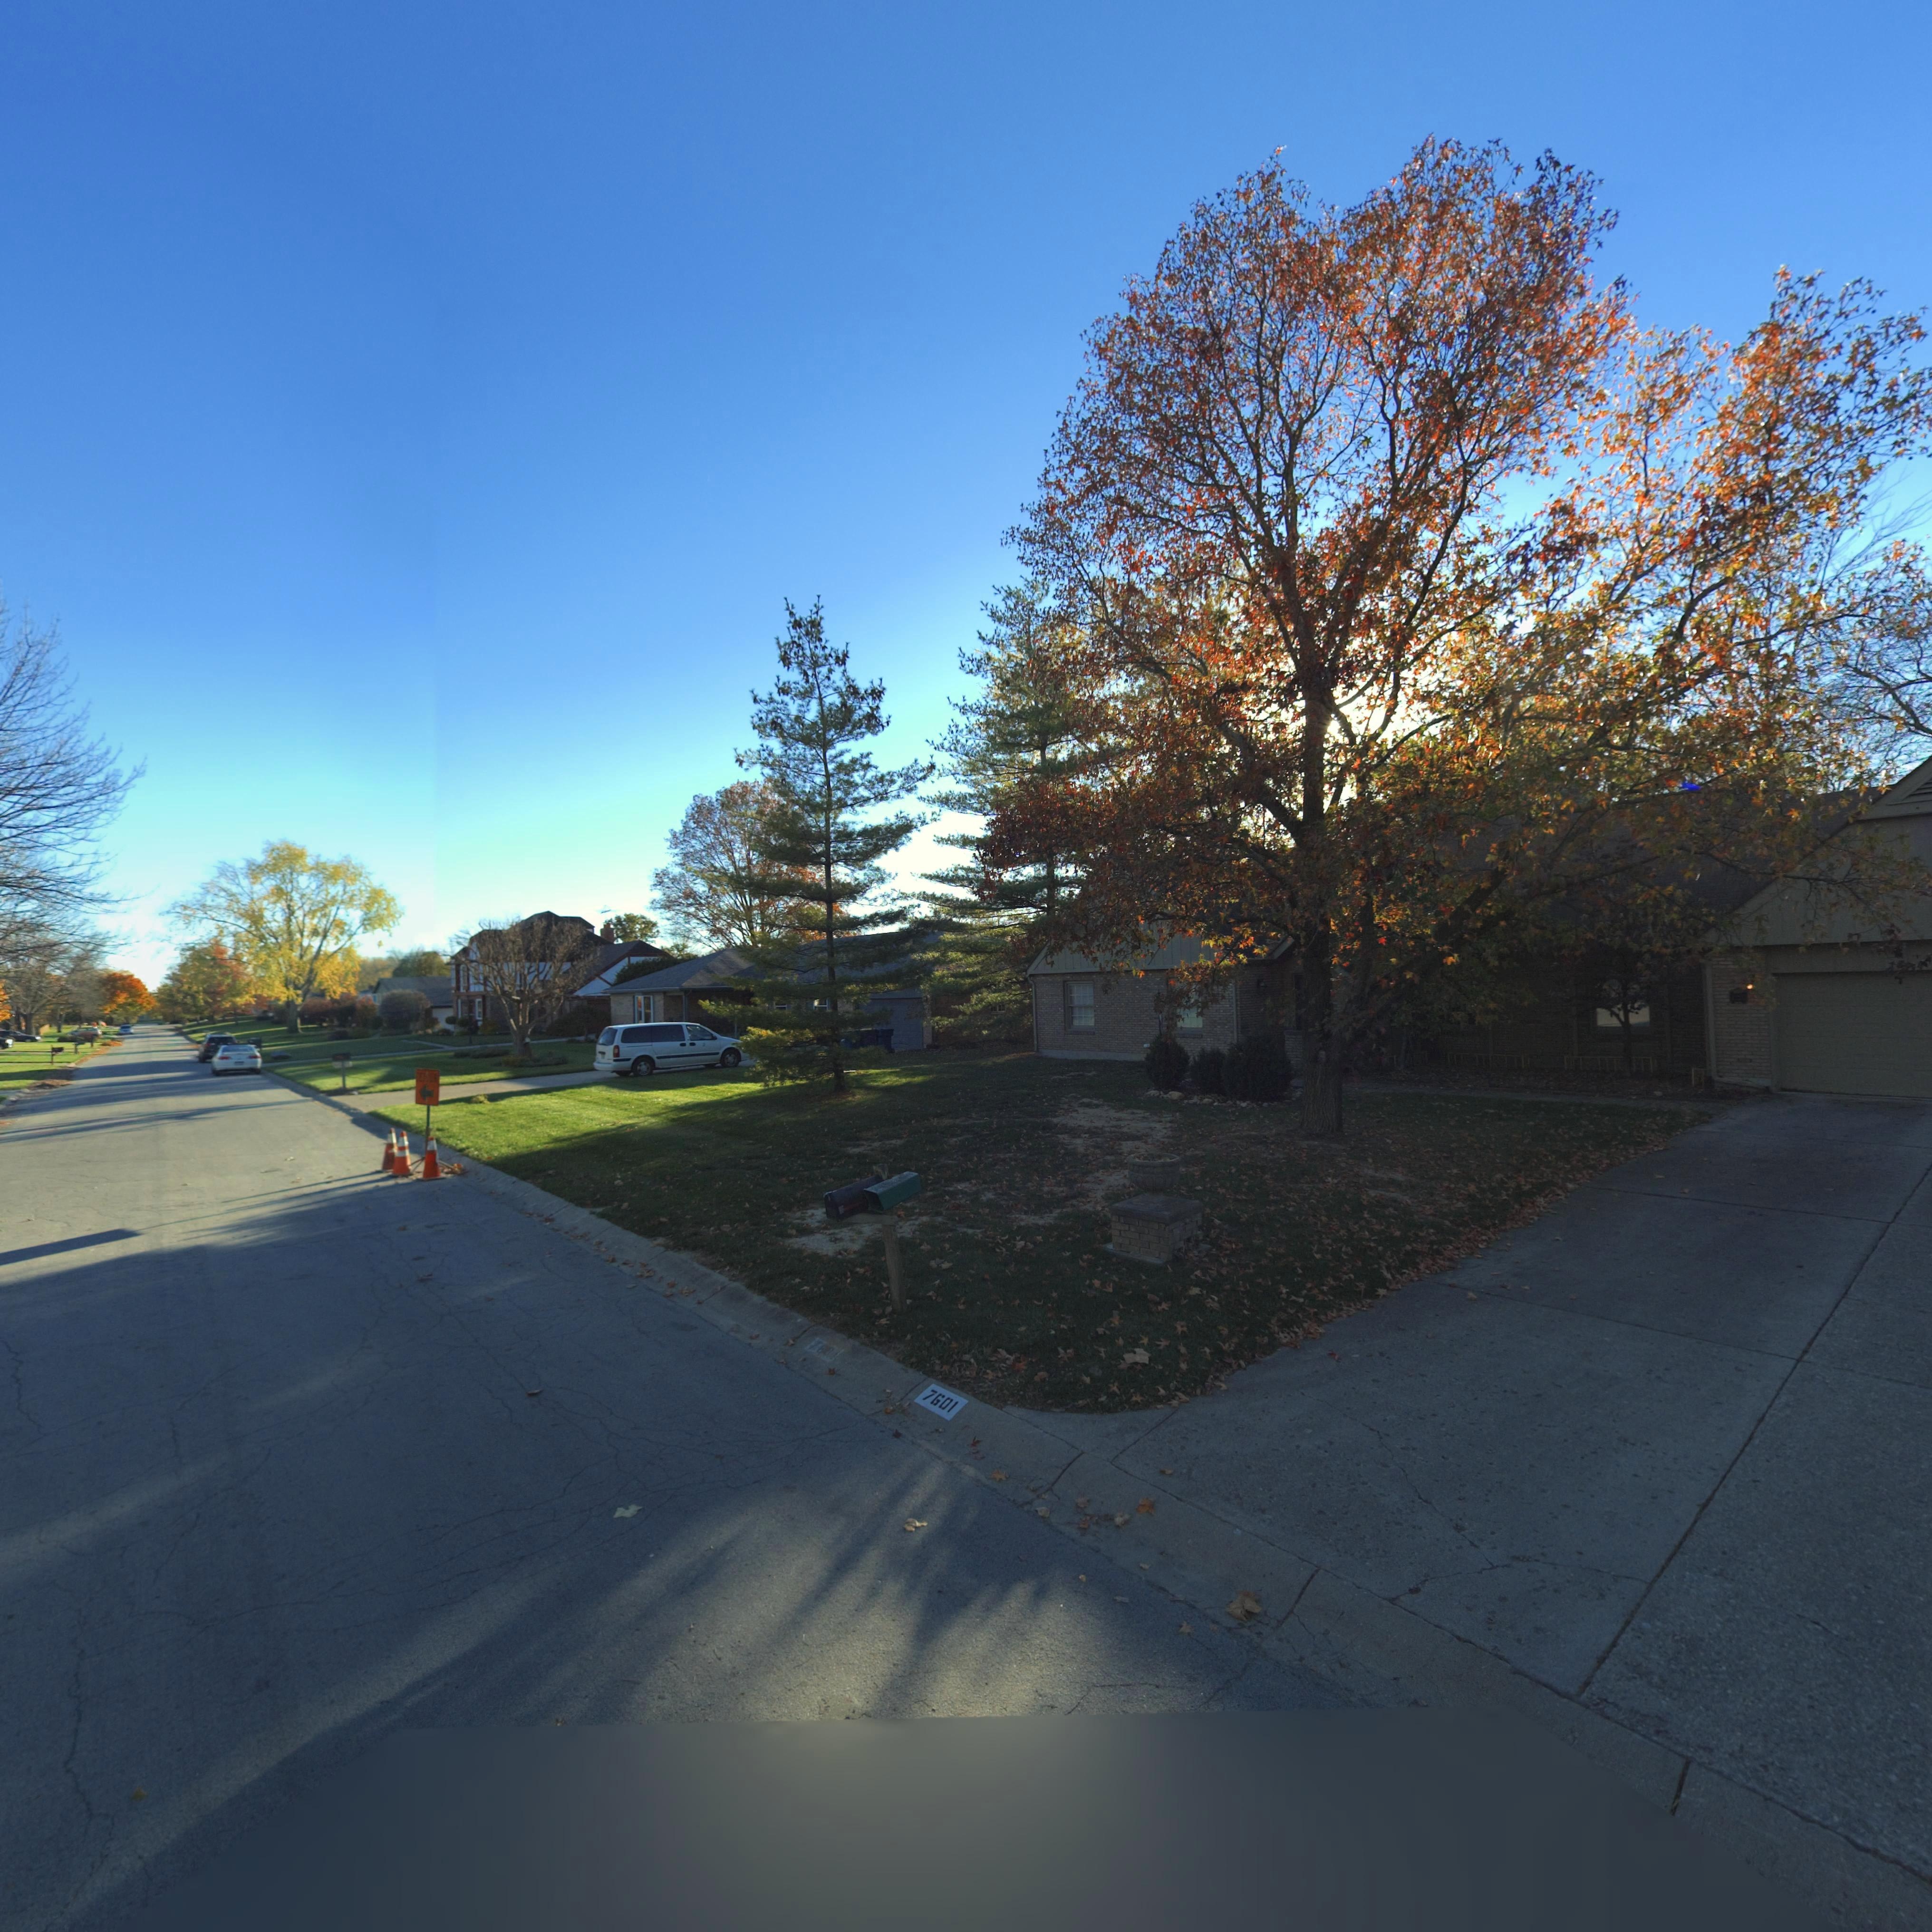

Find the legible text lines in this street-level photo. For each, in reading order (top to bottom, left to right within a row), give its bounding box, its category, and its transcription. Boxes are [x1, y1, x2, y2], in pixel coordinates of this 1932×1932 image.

[805, 1337, 845, 1361] StreetNumber: 7*01
[921, 1388, 961, 1414] StreetNumber: 7601